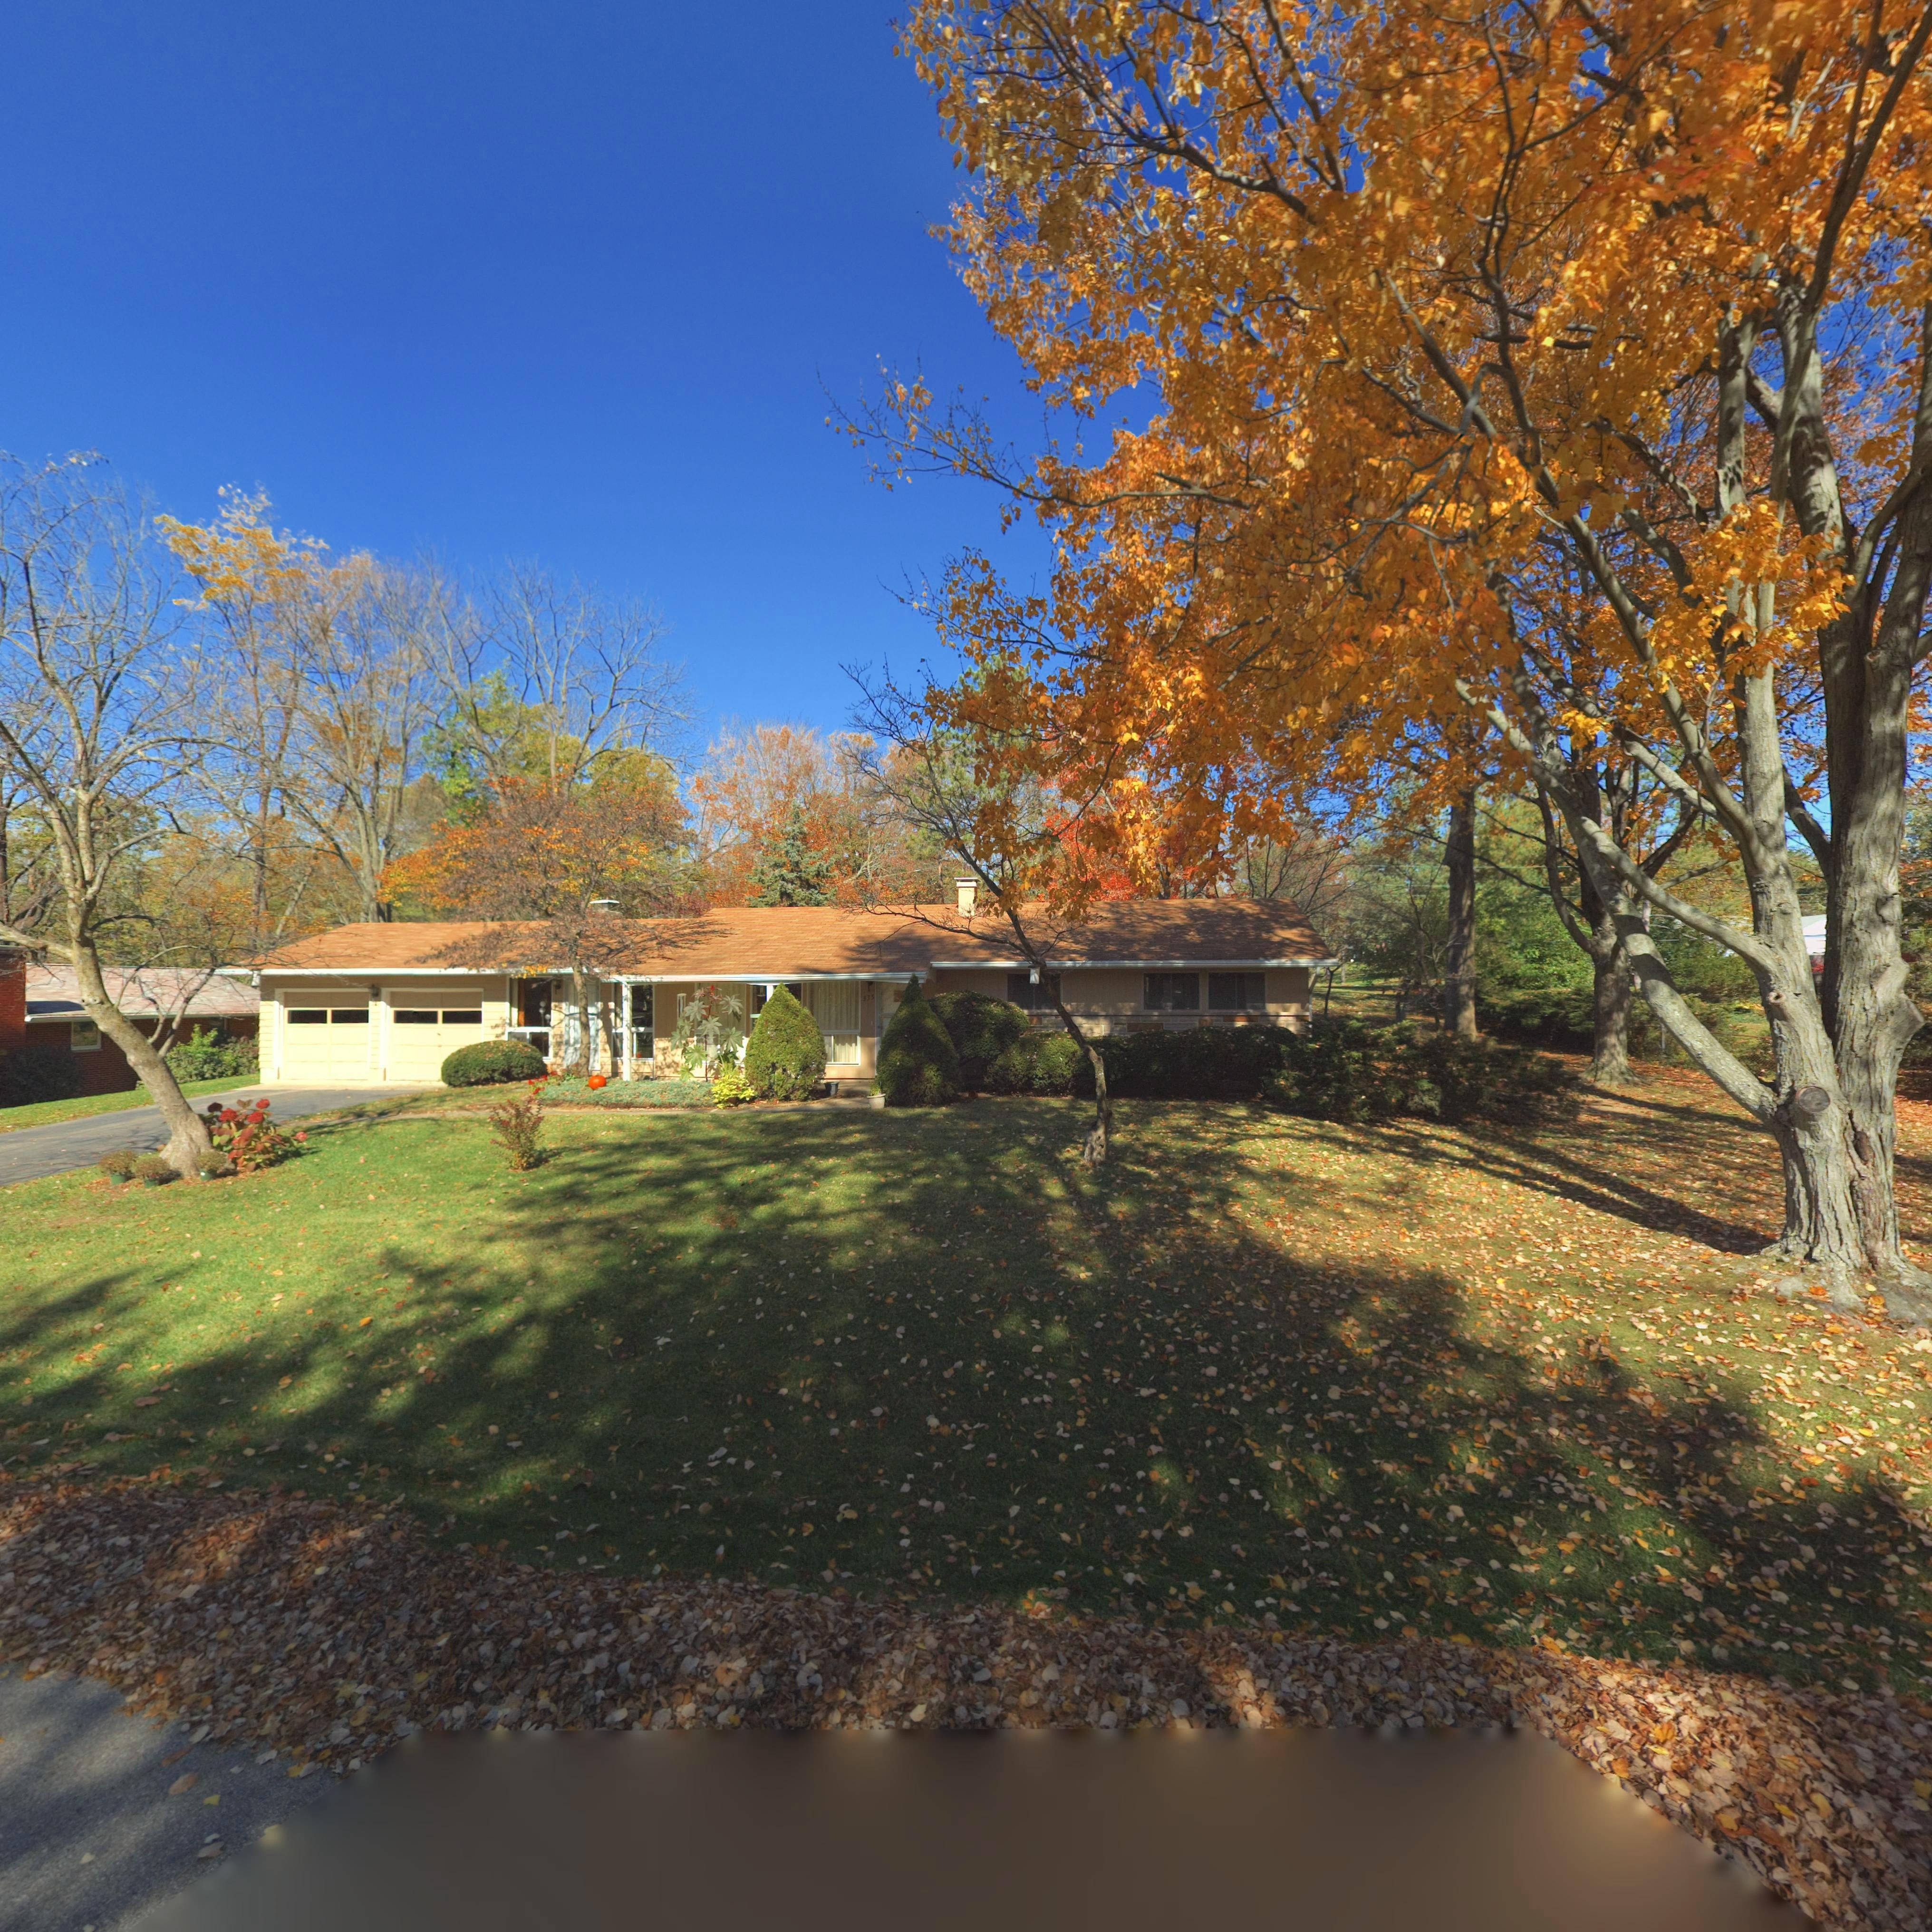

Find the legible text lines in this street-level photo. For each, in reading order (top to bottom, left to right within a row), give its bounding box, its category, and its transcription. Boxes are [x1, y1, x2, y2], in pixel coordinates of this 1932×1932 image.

[862, 993, 876, 1003] StreetNumber: 335